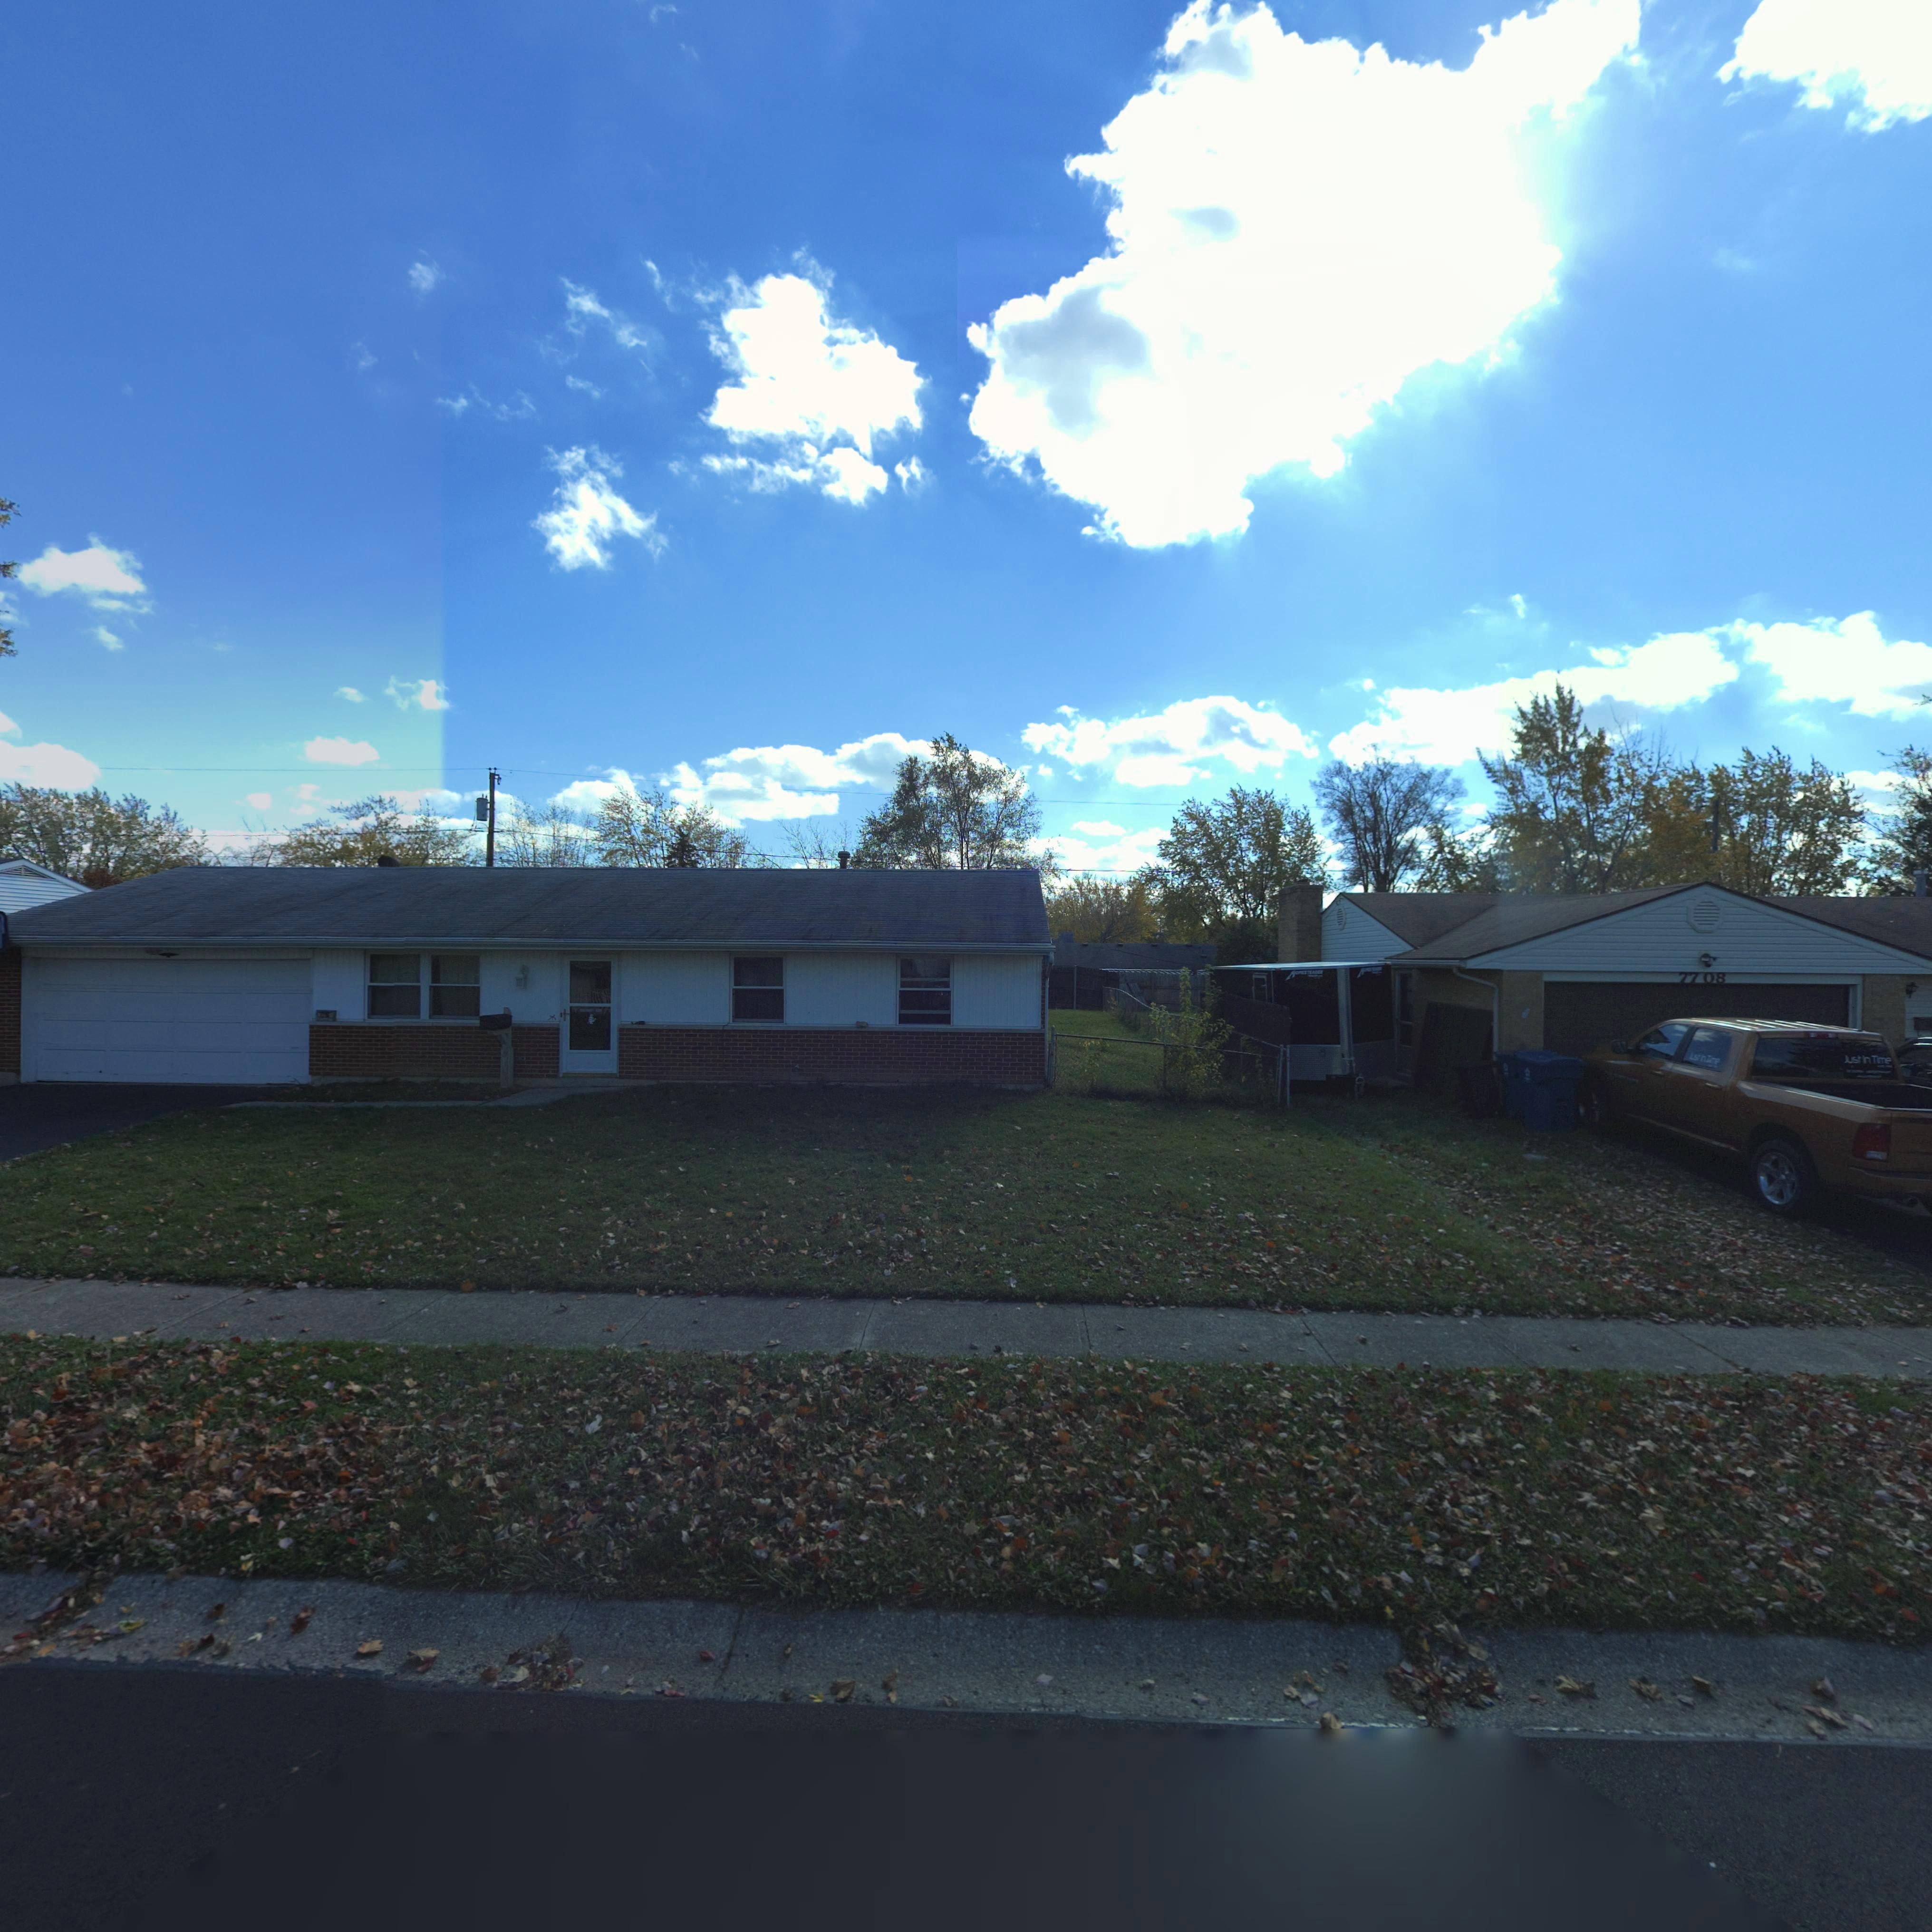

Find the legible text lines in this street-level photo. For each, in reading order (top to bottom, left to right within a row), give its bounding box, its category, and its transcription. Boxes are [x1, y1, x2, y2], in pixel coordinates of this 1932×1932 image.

[1678, 971, 1727, 984] StreetNumber: 7708
[318, 1011, 330, 1017] StreetNumber: 7***